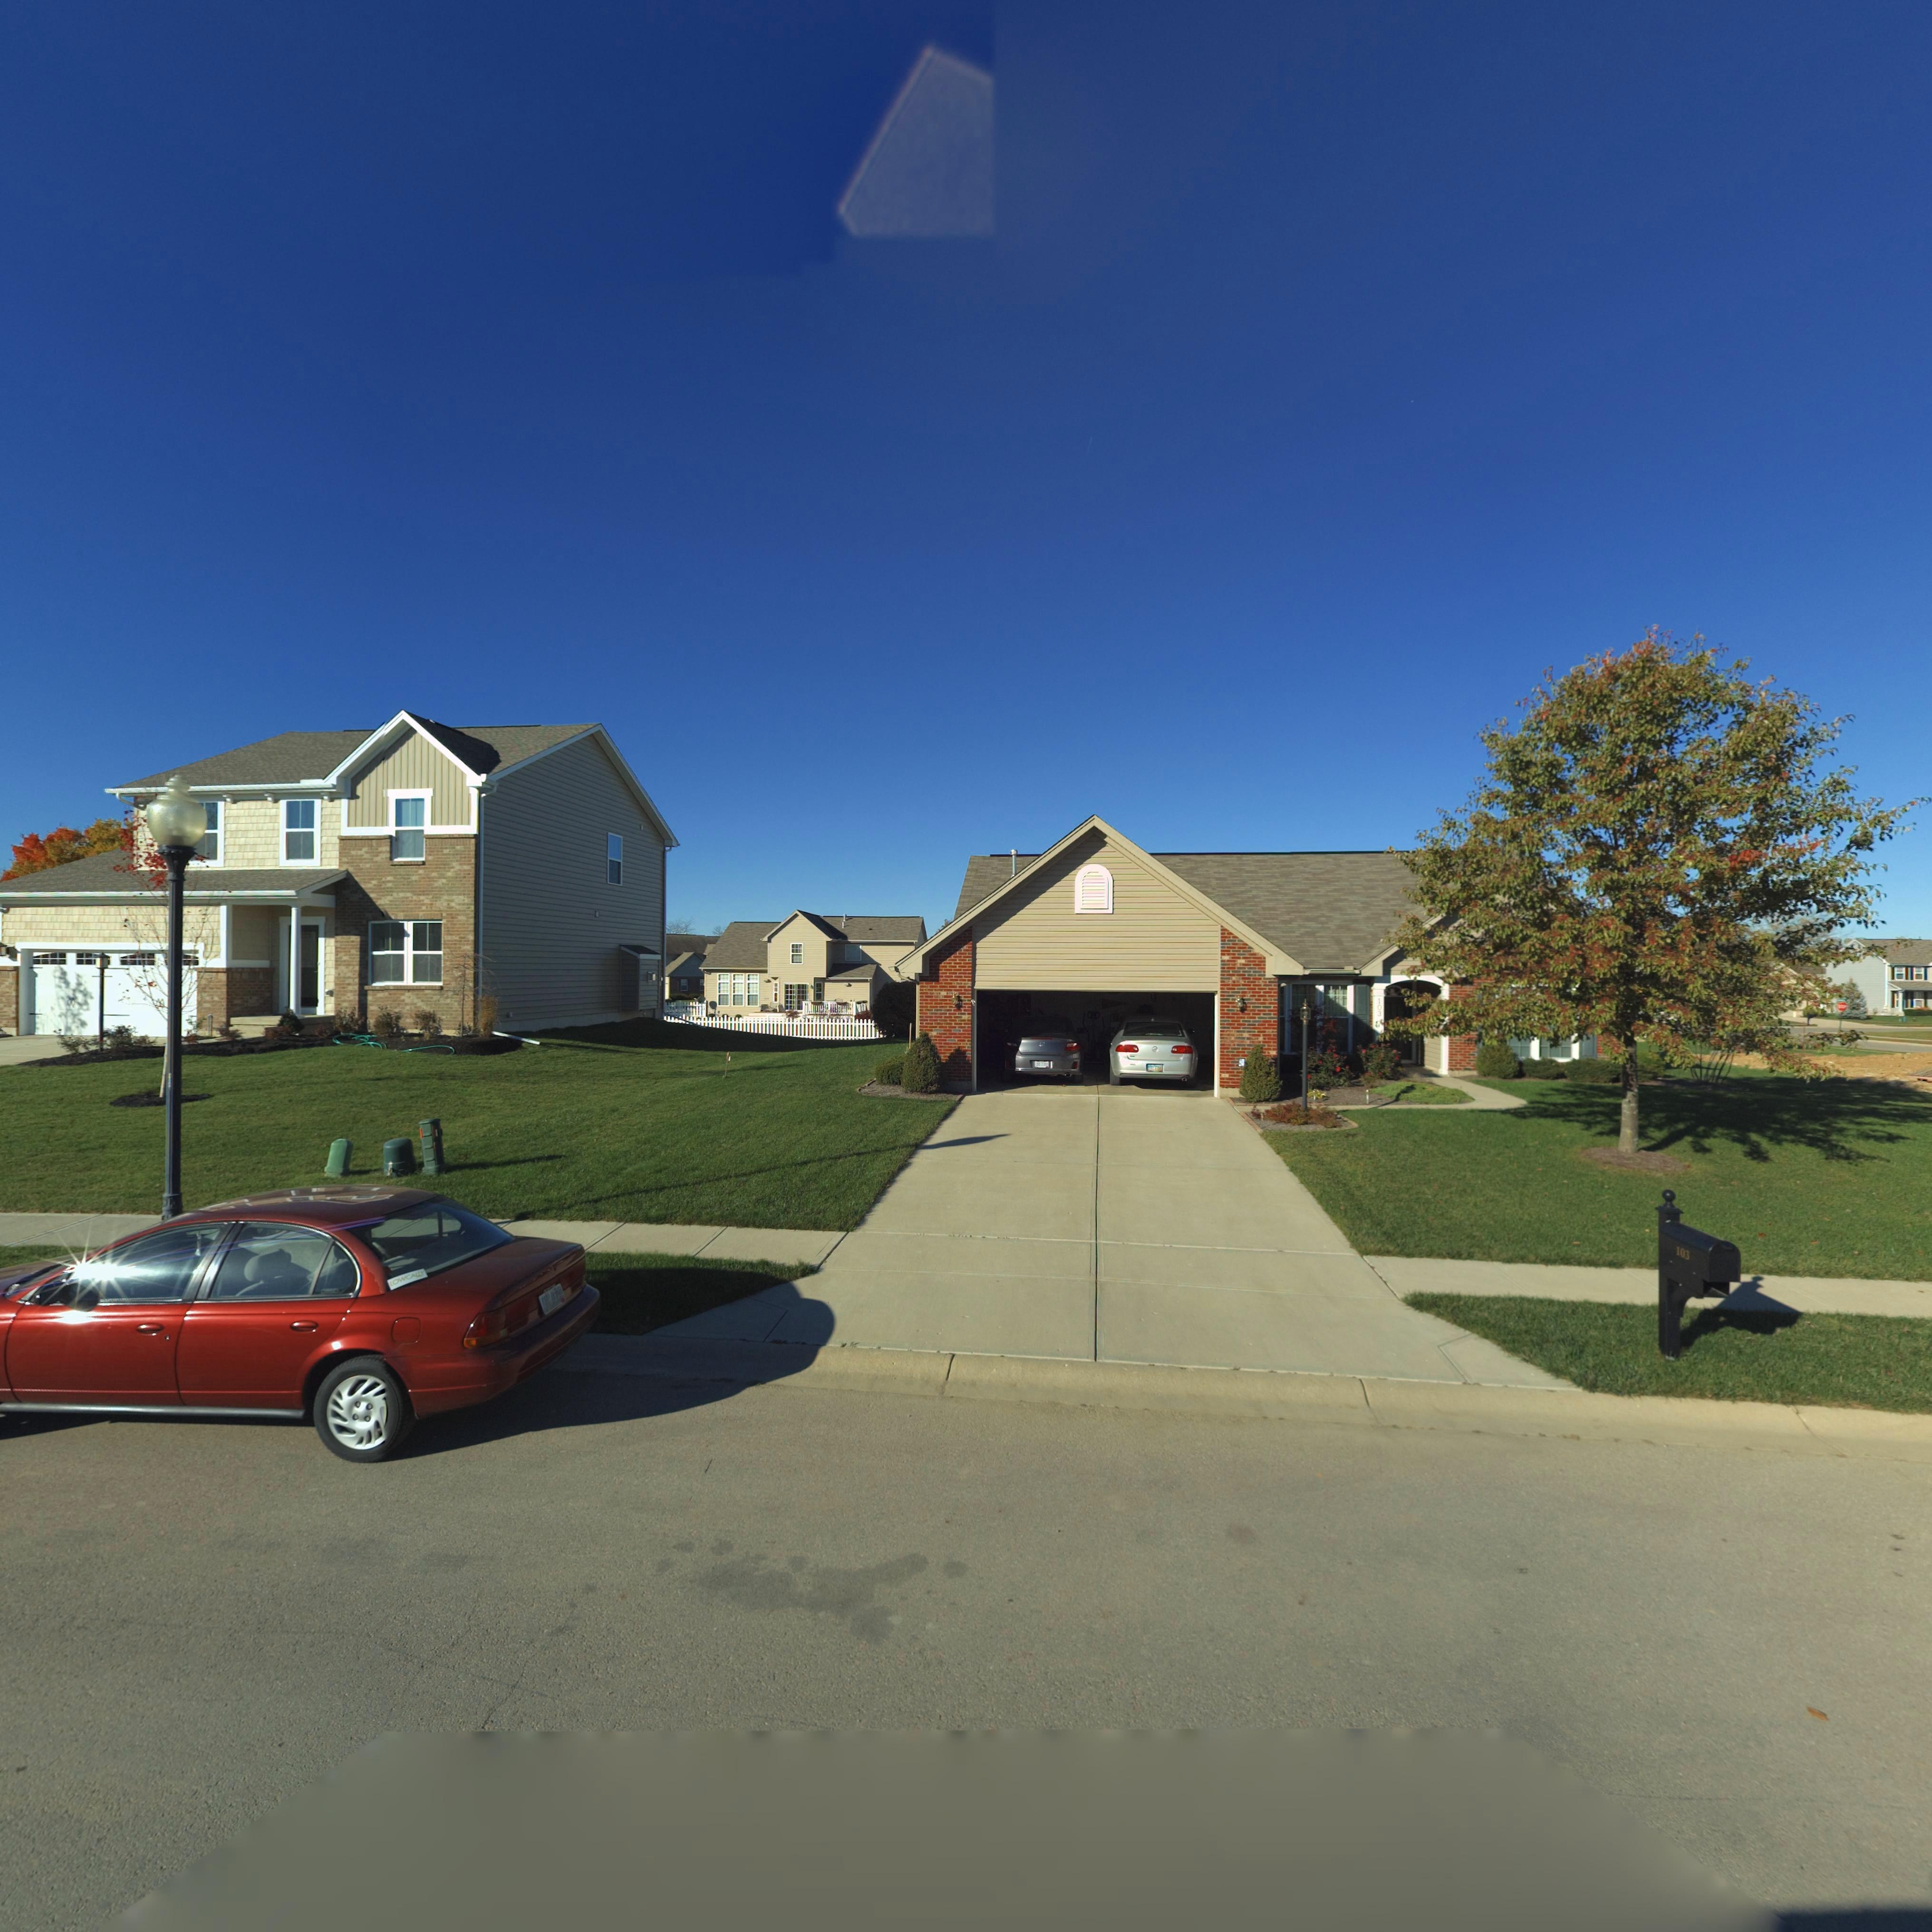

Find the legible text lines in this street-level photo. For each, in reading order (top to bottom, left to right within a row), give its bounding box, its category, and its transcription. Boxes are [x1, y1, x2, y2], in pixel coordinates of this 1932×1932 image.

[1377, 997, 1382, 1017] StreetNumber: 103
[1676, 1245, 1690, 1261] StreetNumber: 103